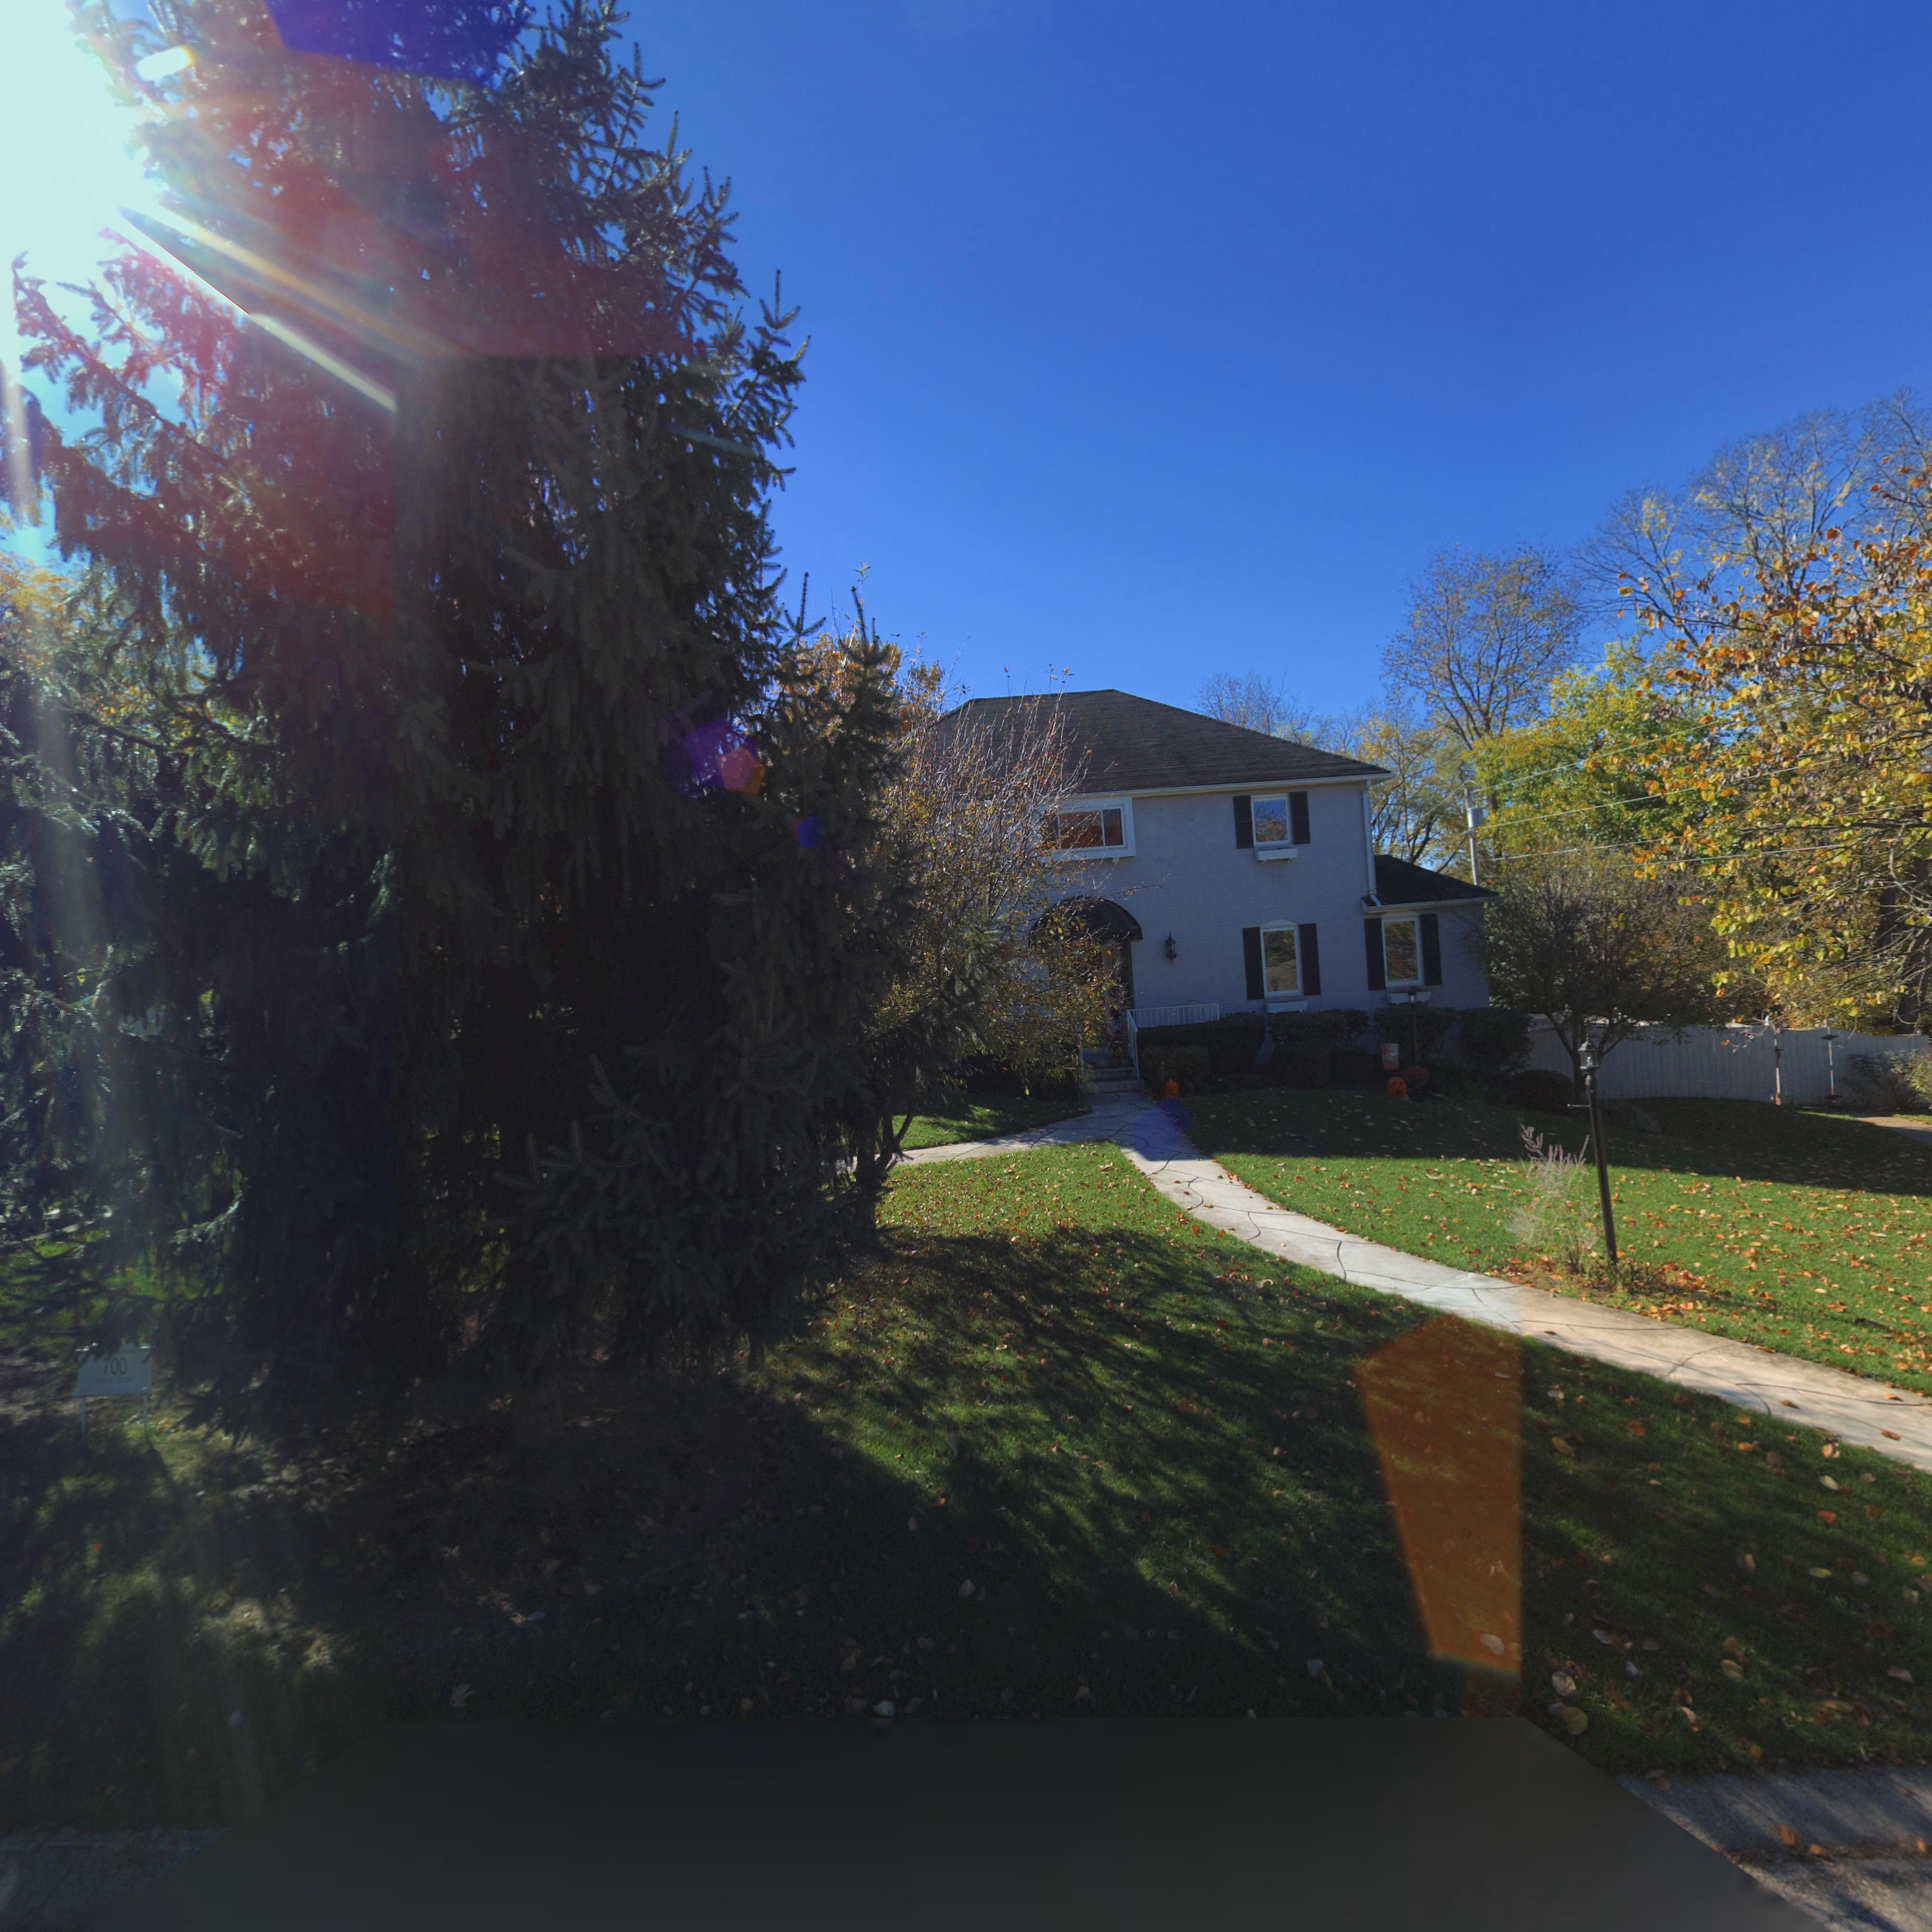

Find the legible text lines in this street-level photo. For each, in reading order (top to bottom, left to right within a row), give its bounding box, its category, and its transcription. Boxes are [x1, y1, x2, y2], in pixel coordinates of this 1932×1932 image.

[102, 1356, 128, 1375] StreetNumber: 700